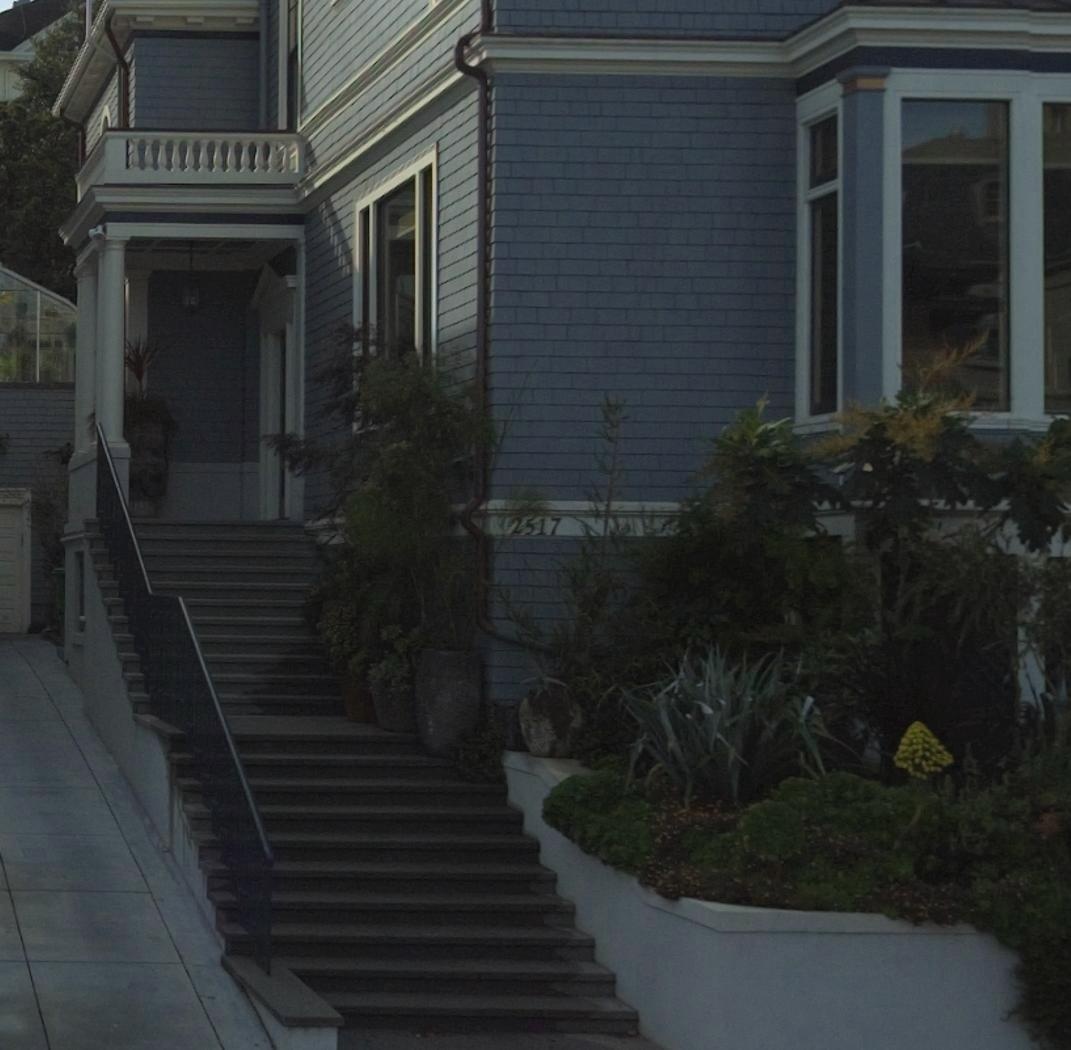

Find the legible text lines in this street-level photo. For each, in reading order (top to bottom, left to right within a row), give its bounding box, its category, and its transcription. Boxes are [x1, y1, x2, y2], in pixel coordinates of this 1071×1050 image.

[509, 515, 564, 537] StreetNumber: 2517